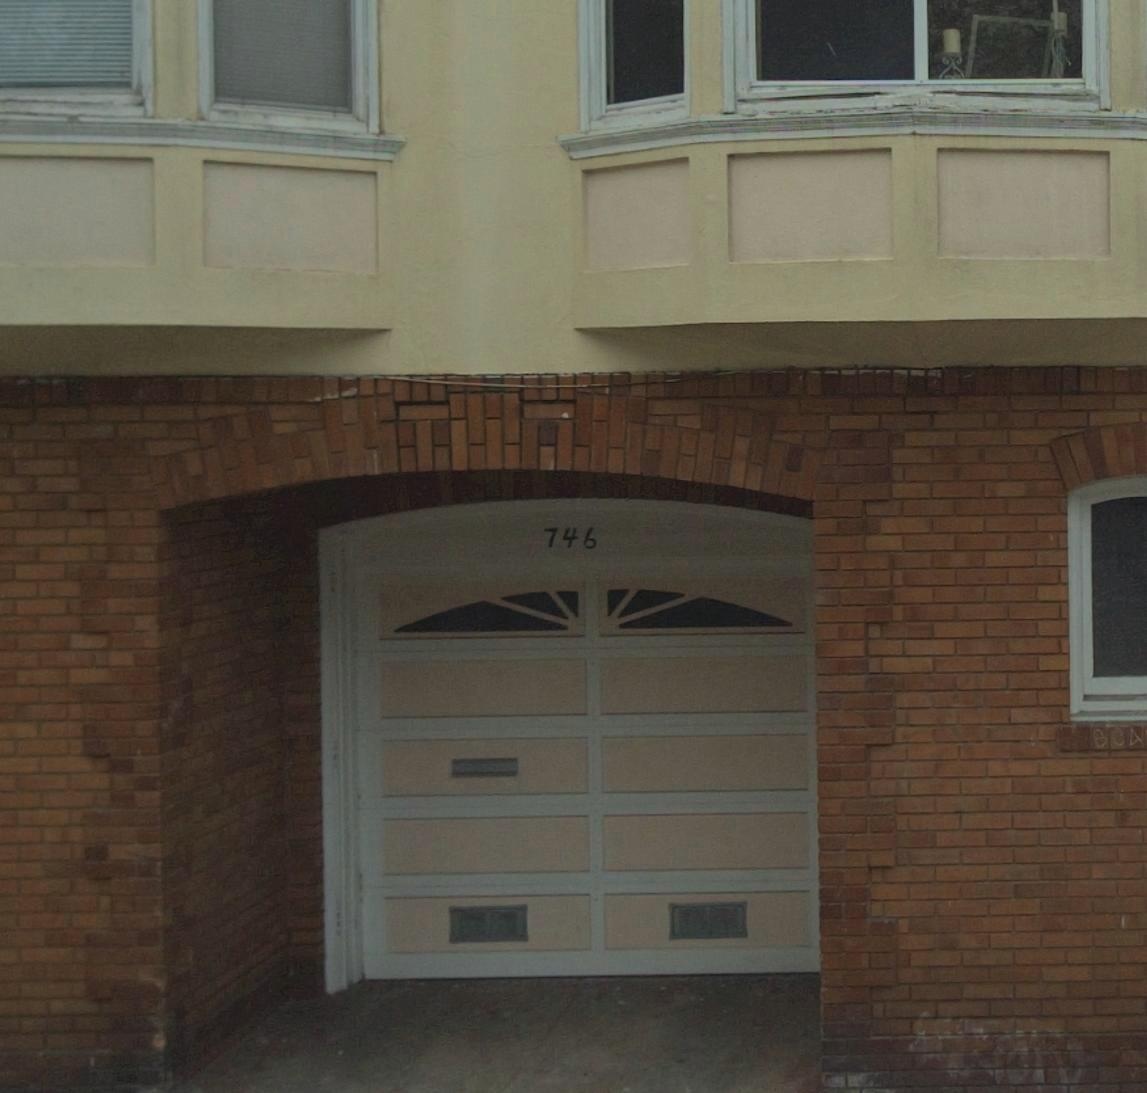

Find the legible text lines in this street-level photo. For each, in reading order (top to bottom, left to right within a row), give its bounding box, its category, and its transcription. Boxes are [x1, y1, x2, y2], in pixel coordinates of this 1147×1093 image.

[541, 524, 598, 551] StreetNumber: 746